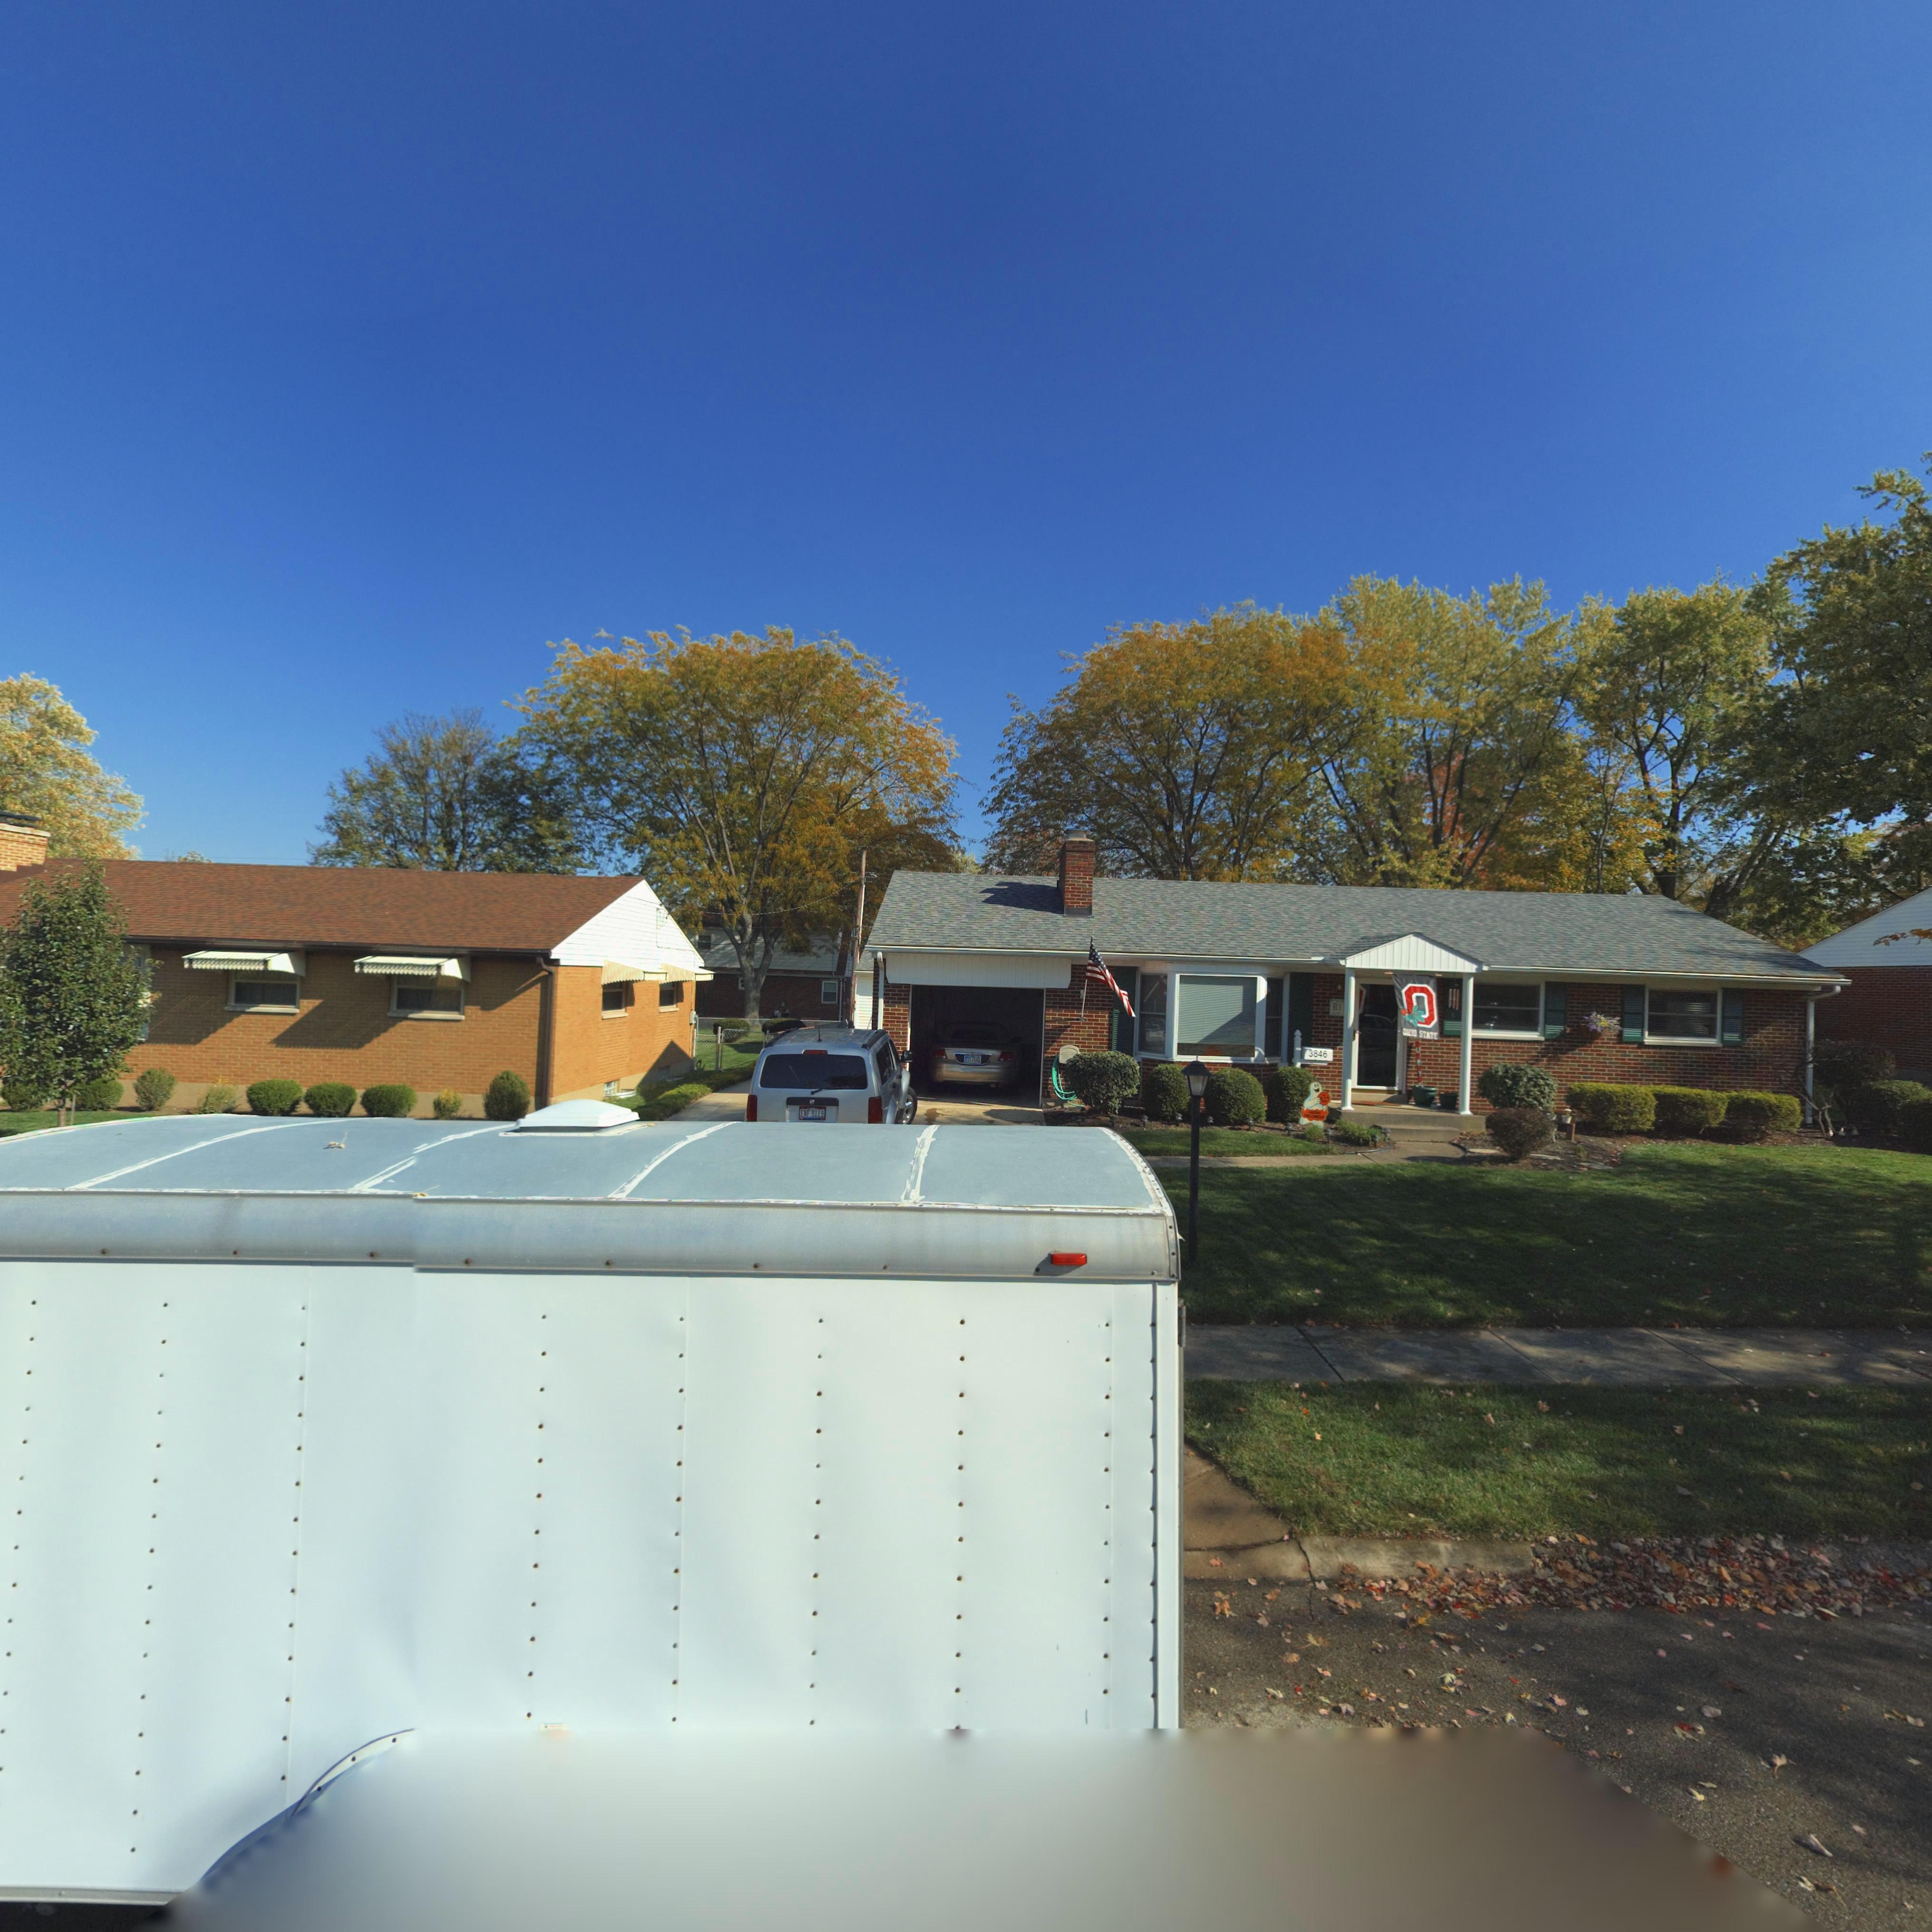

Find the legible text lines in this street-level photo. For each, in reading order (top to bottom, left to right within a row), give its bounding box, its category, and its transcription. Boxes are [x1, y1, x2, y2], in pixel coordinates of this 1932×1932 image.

[1332, 1002, 1342, 1011] None: RI
[1401, 1027, 1439, 1041] None: OHIO STATE
[1308, 1049, 1328, 1059] StreetNumber: 3846
[965, 1056, 980, 1063] None: *T* 2*4*
[800, 1109, 825, 1118] None: ENF 9119